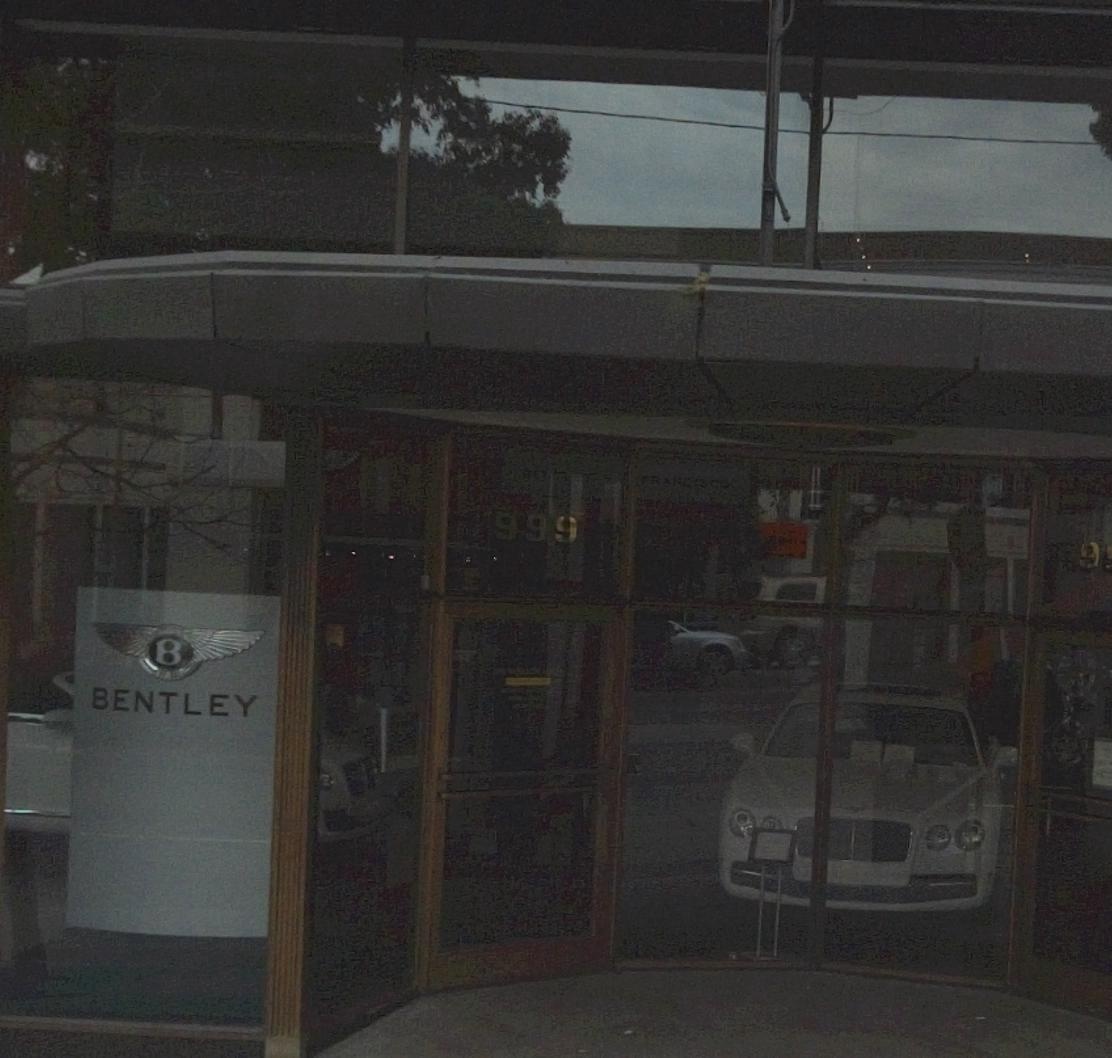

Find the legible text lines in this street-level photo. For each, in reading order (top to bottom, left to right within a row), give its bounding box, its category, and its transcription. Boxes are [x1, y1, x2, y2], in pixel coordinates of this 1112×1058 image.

[492, 511, 579, 545] StreetNumber: 999
[154, 637, 185, 668] None: B
[91, 685, 260, 719] BusinessName: BENTLEY